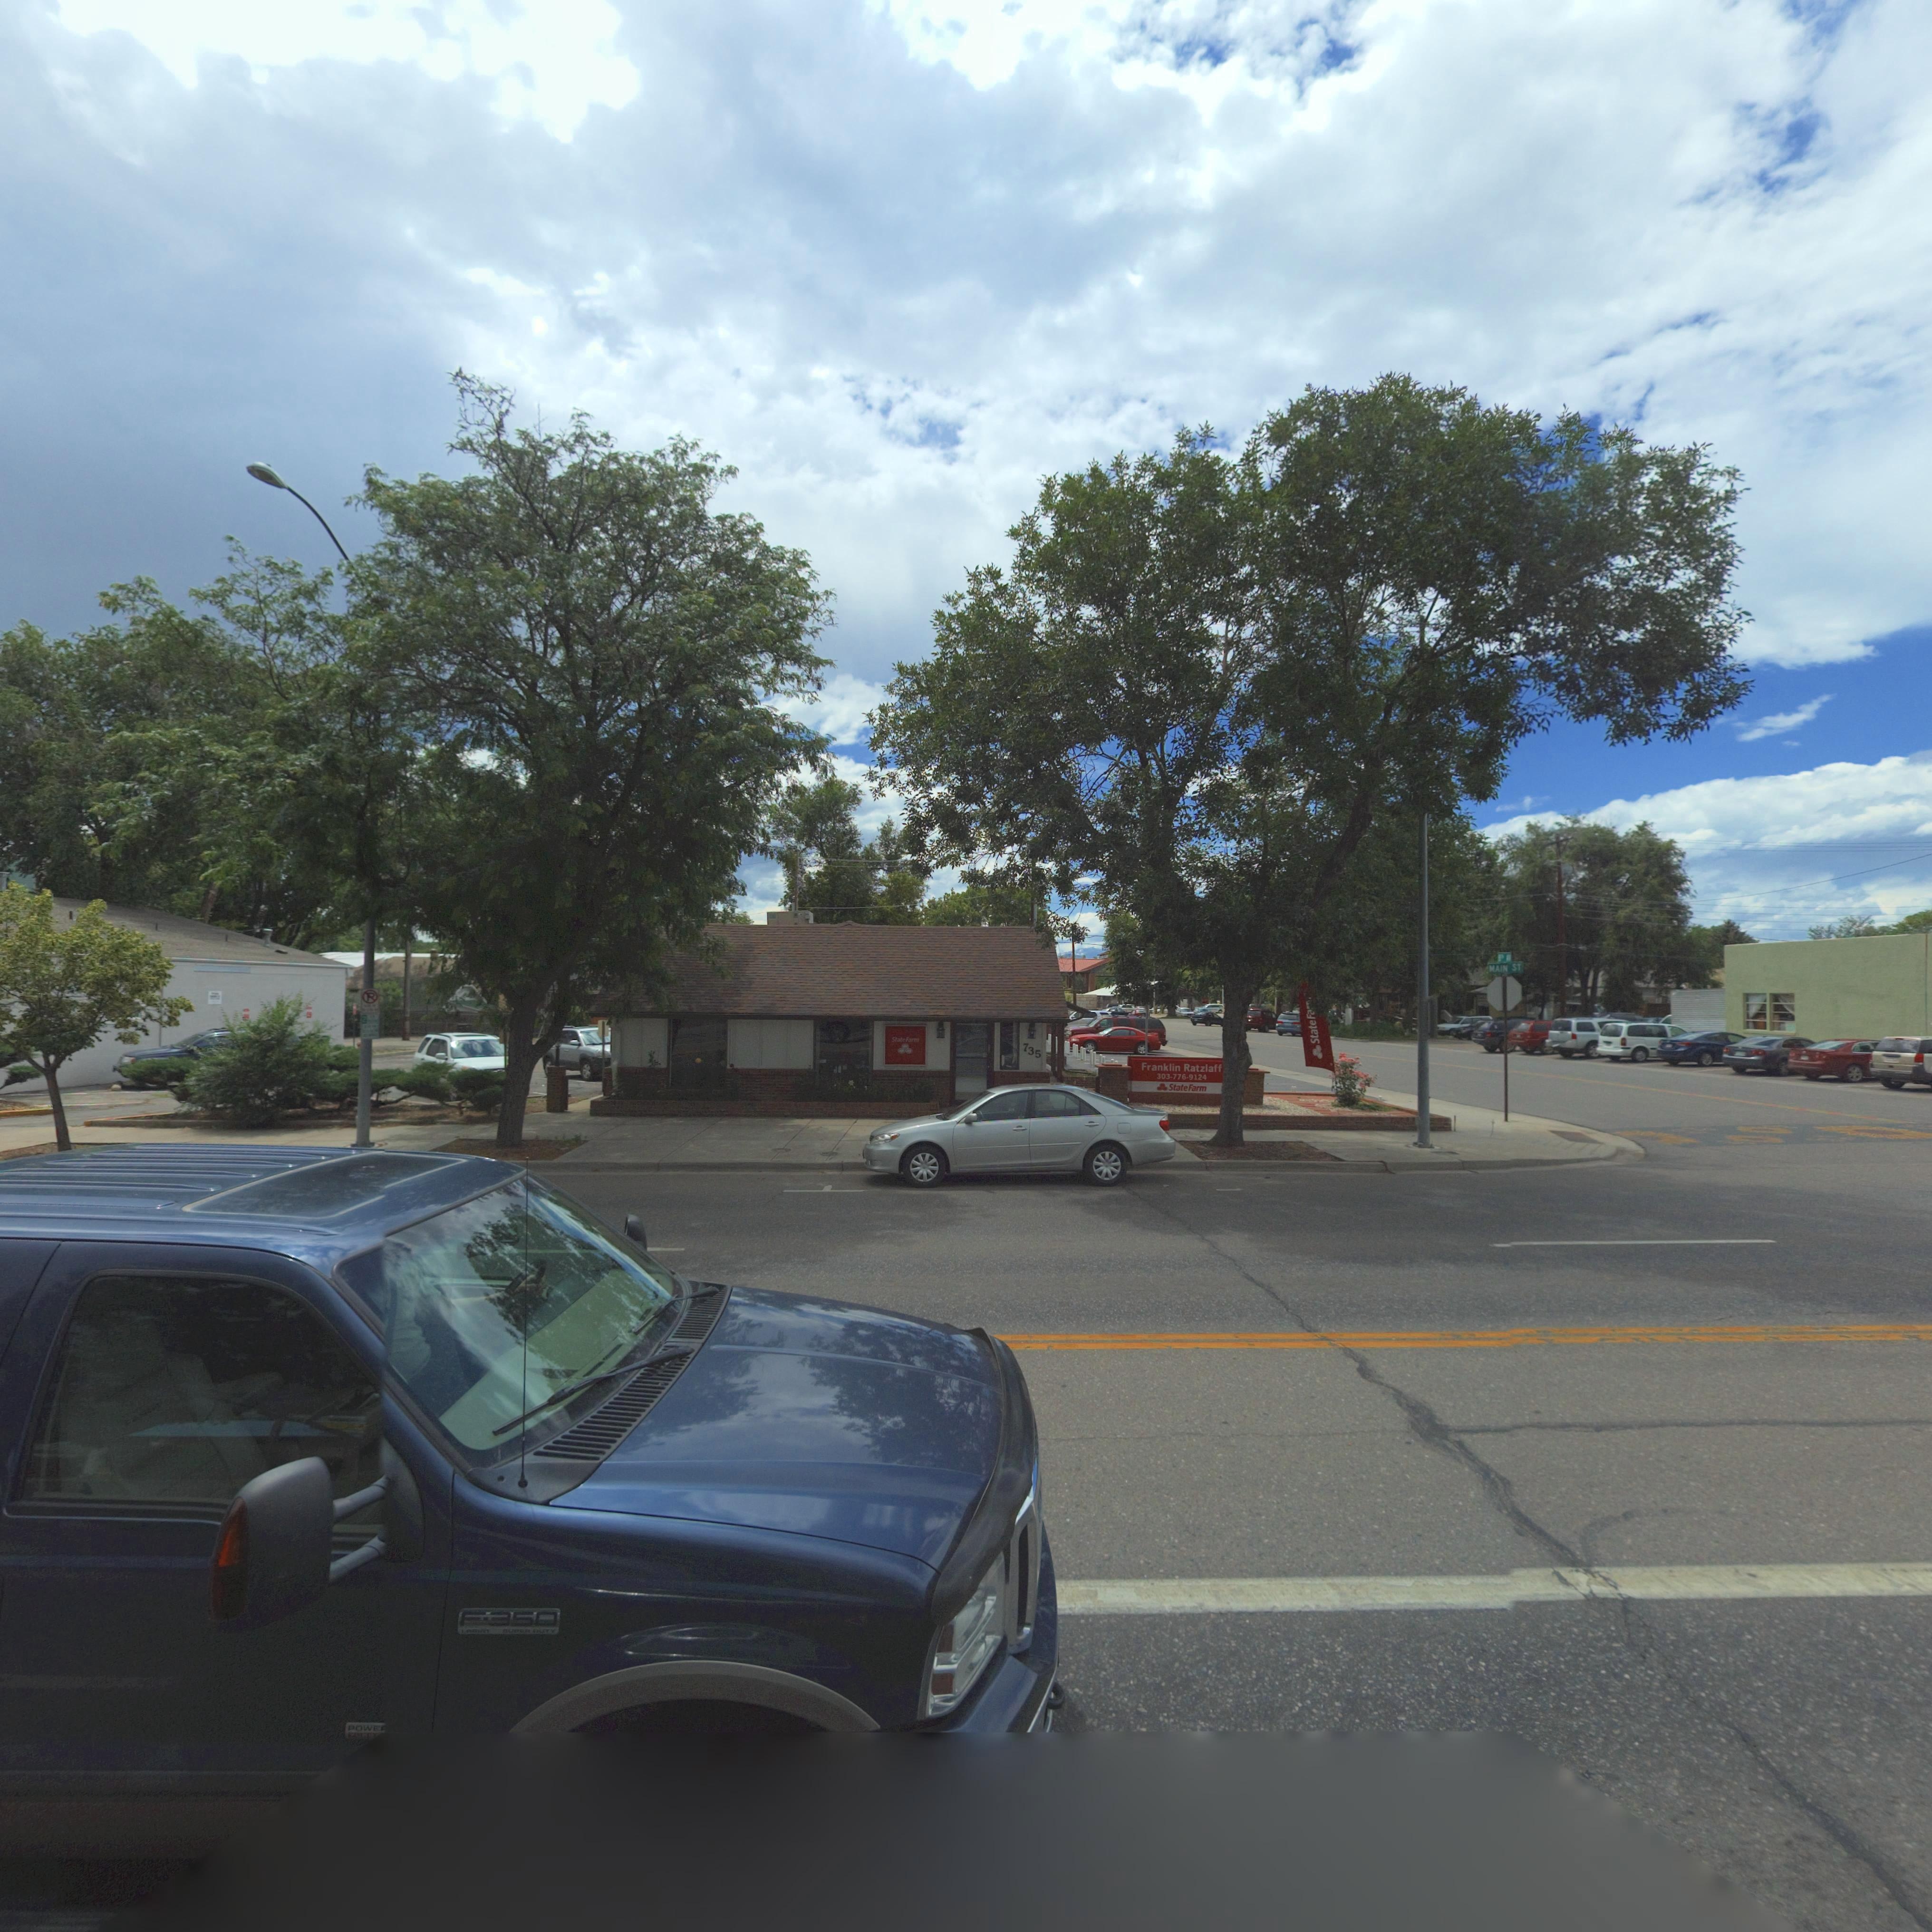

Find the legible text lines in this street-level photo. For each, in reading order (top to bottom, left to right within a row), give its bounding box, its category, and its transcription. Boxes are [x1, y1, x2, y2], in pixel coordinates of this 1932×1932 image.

[1497, 954, 1511, 961] StreetName: 8TH AV
[1489, 963, 1521, 972] StreetName: MAIN ST
[1306, 1014, 1320, 1044] BusinessName: StateFarm
[890, 1036, 919, 1043] BusinessName: StateFarm
[1023, 1043, 1041, 1058] StreetNumber: 735
[1168, 1083, 1207, 1091] BusinessName: StateFarm